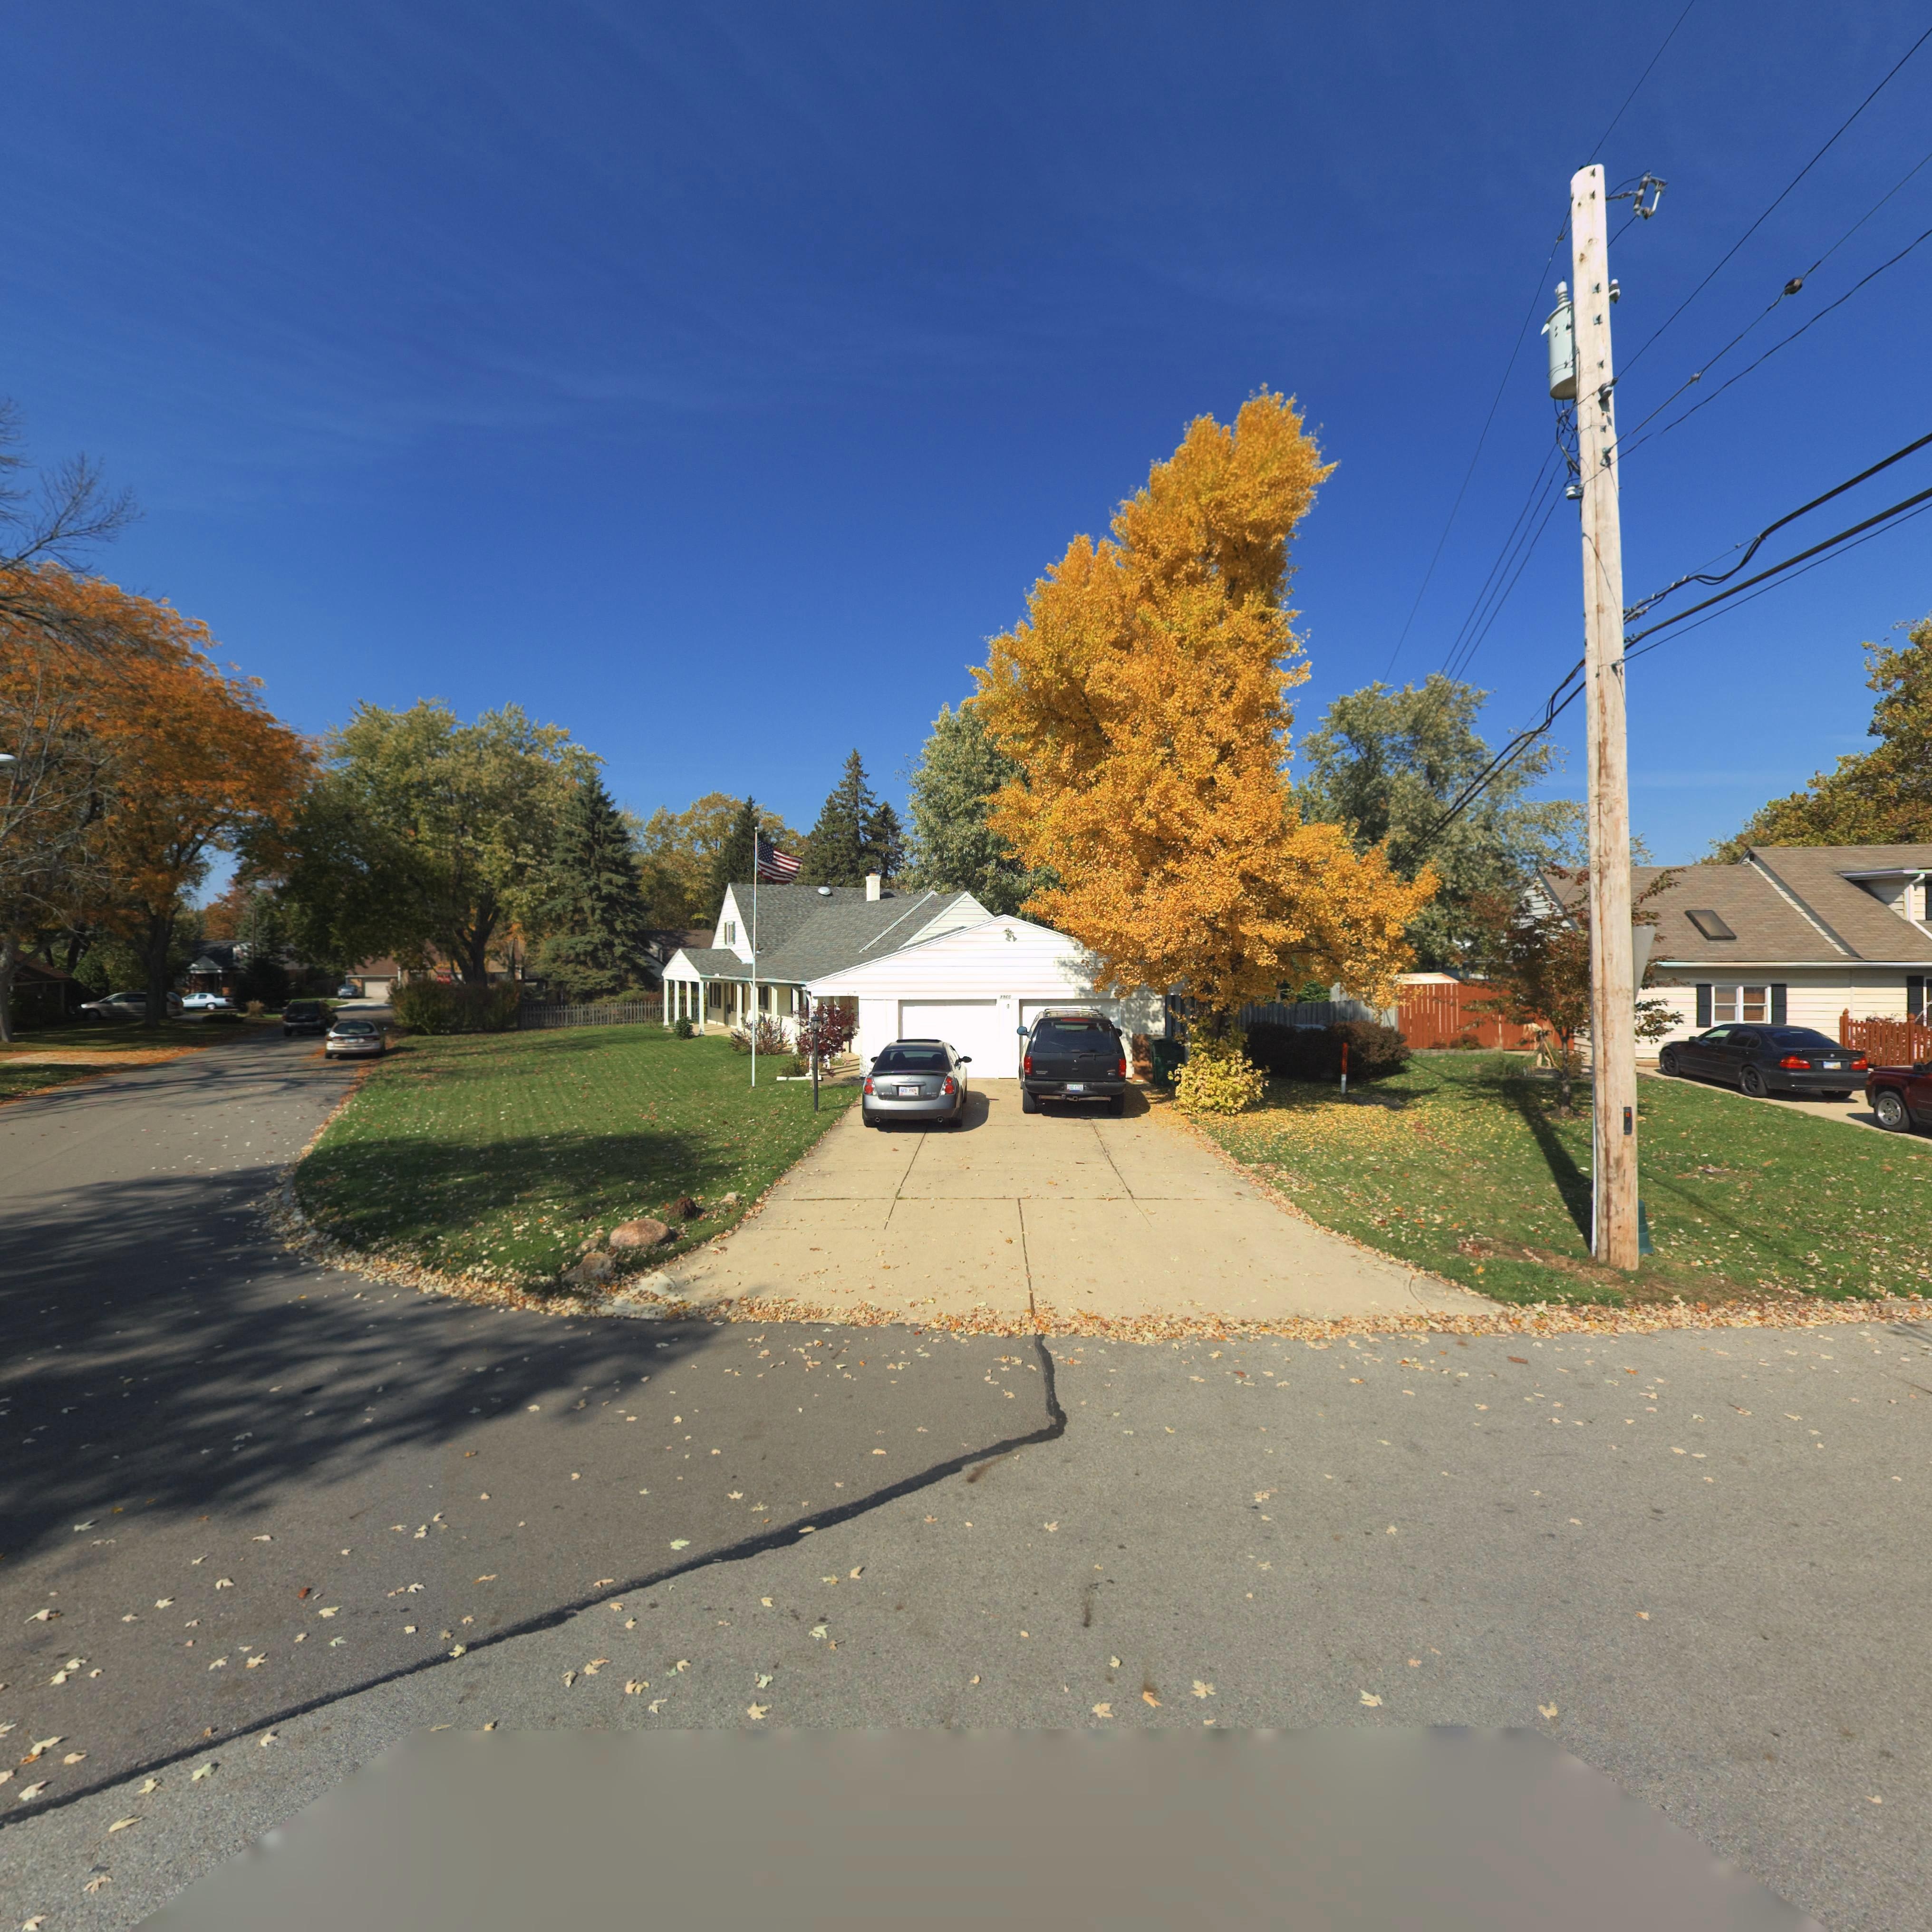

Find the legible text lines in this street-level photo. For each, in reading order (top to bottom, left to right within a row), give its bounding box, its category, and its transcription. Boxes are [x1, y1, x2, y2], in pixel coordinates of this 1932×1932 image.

[999, 994, 1012, 1000] StreetNumber: 3*60